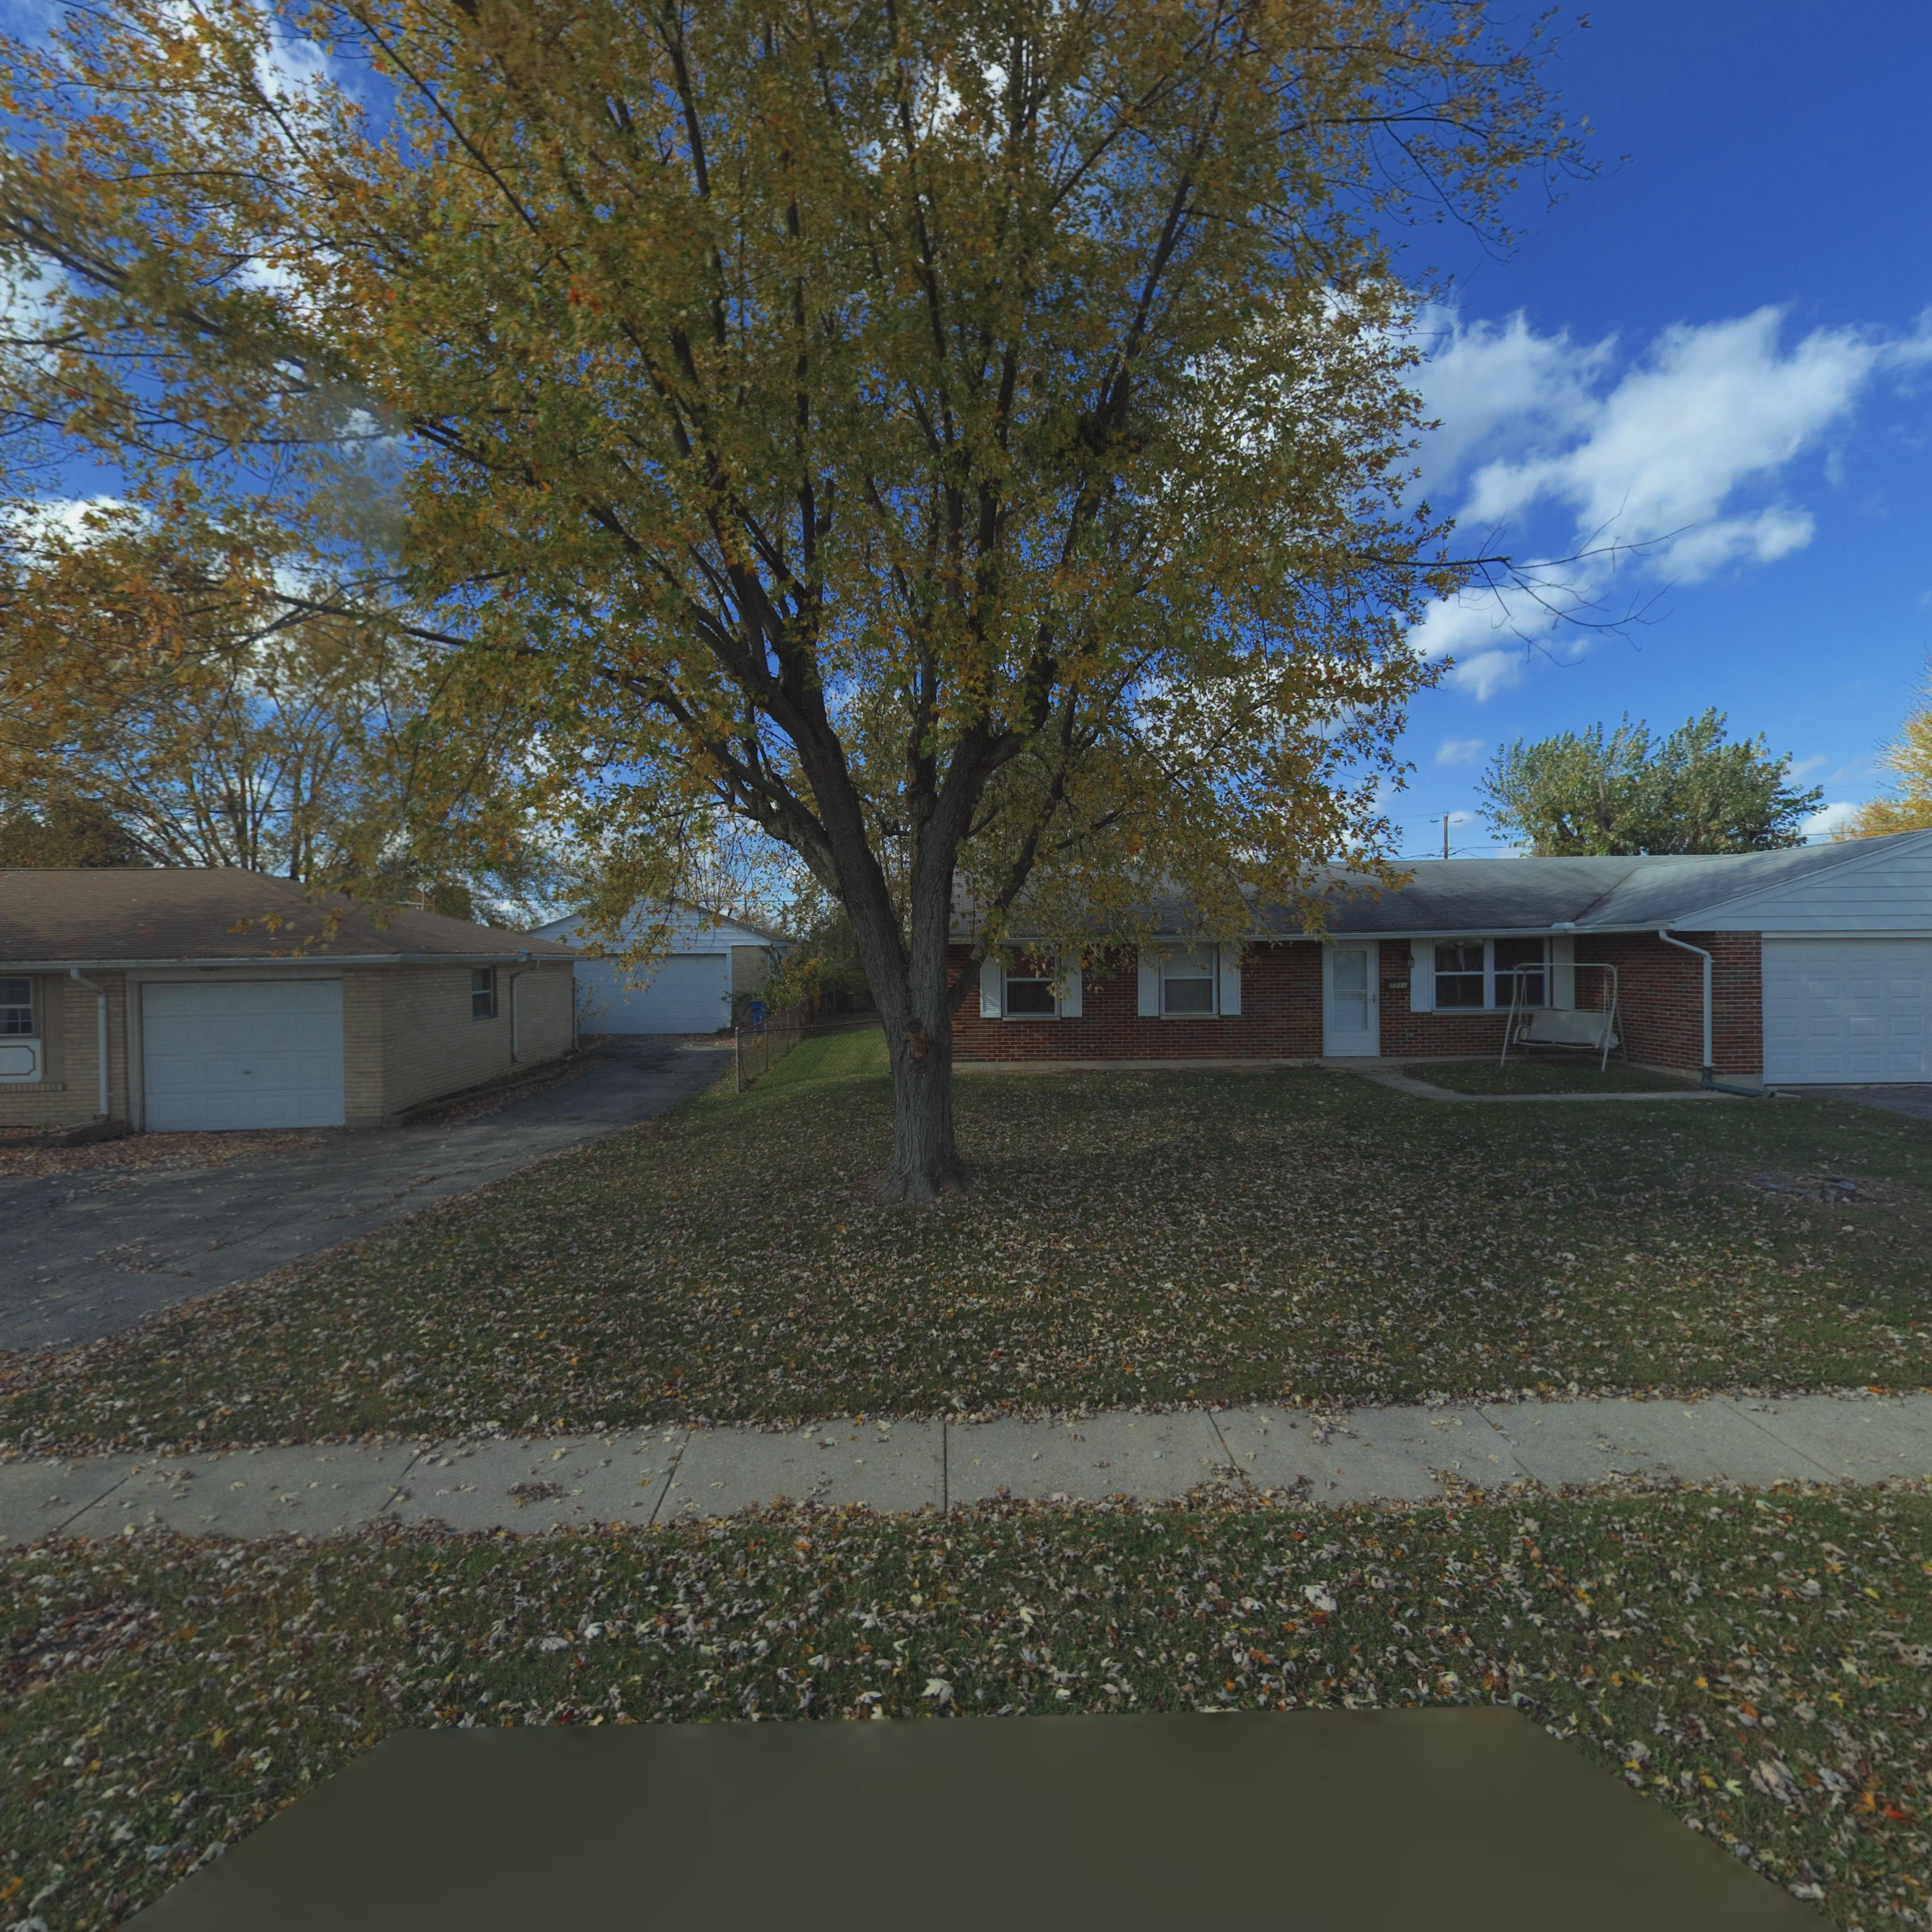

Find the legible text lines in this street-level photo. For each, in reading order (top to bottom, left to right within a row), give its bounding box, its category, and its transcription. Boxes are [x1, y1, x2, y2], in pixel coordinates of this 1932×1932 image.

[1390, 982, 1406, 988] StreetNumber: 7711